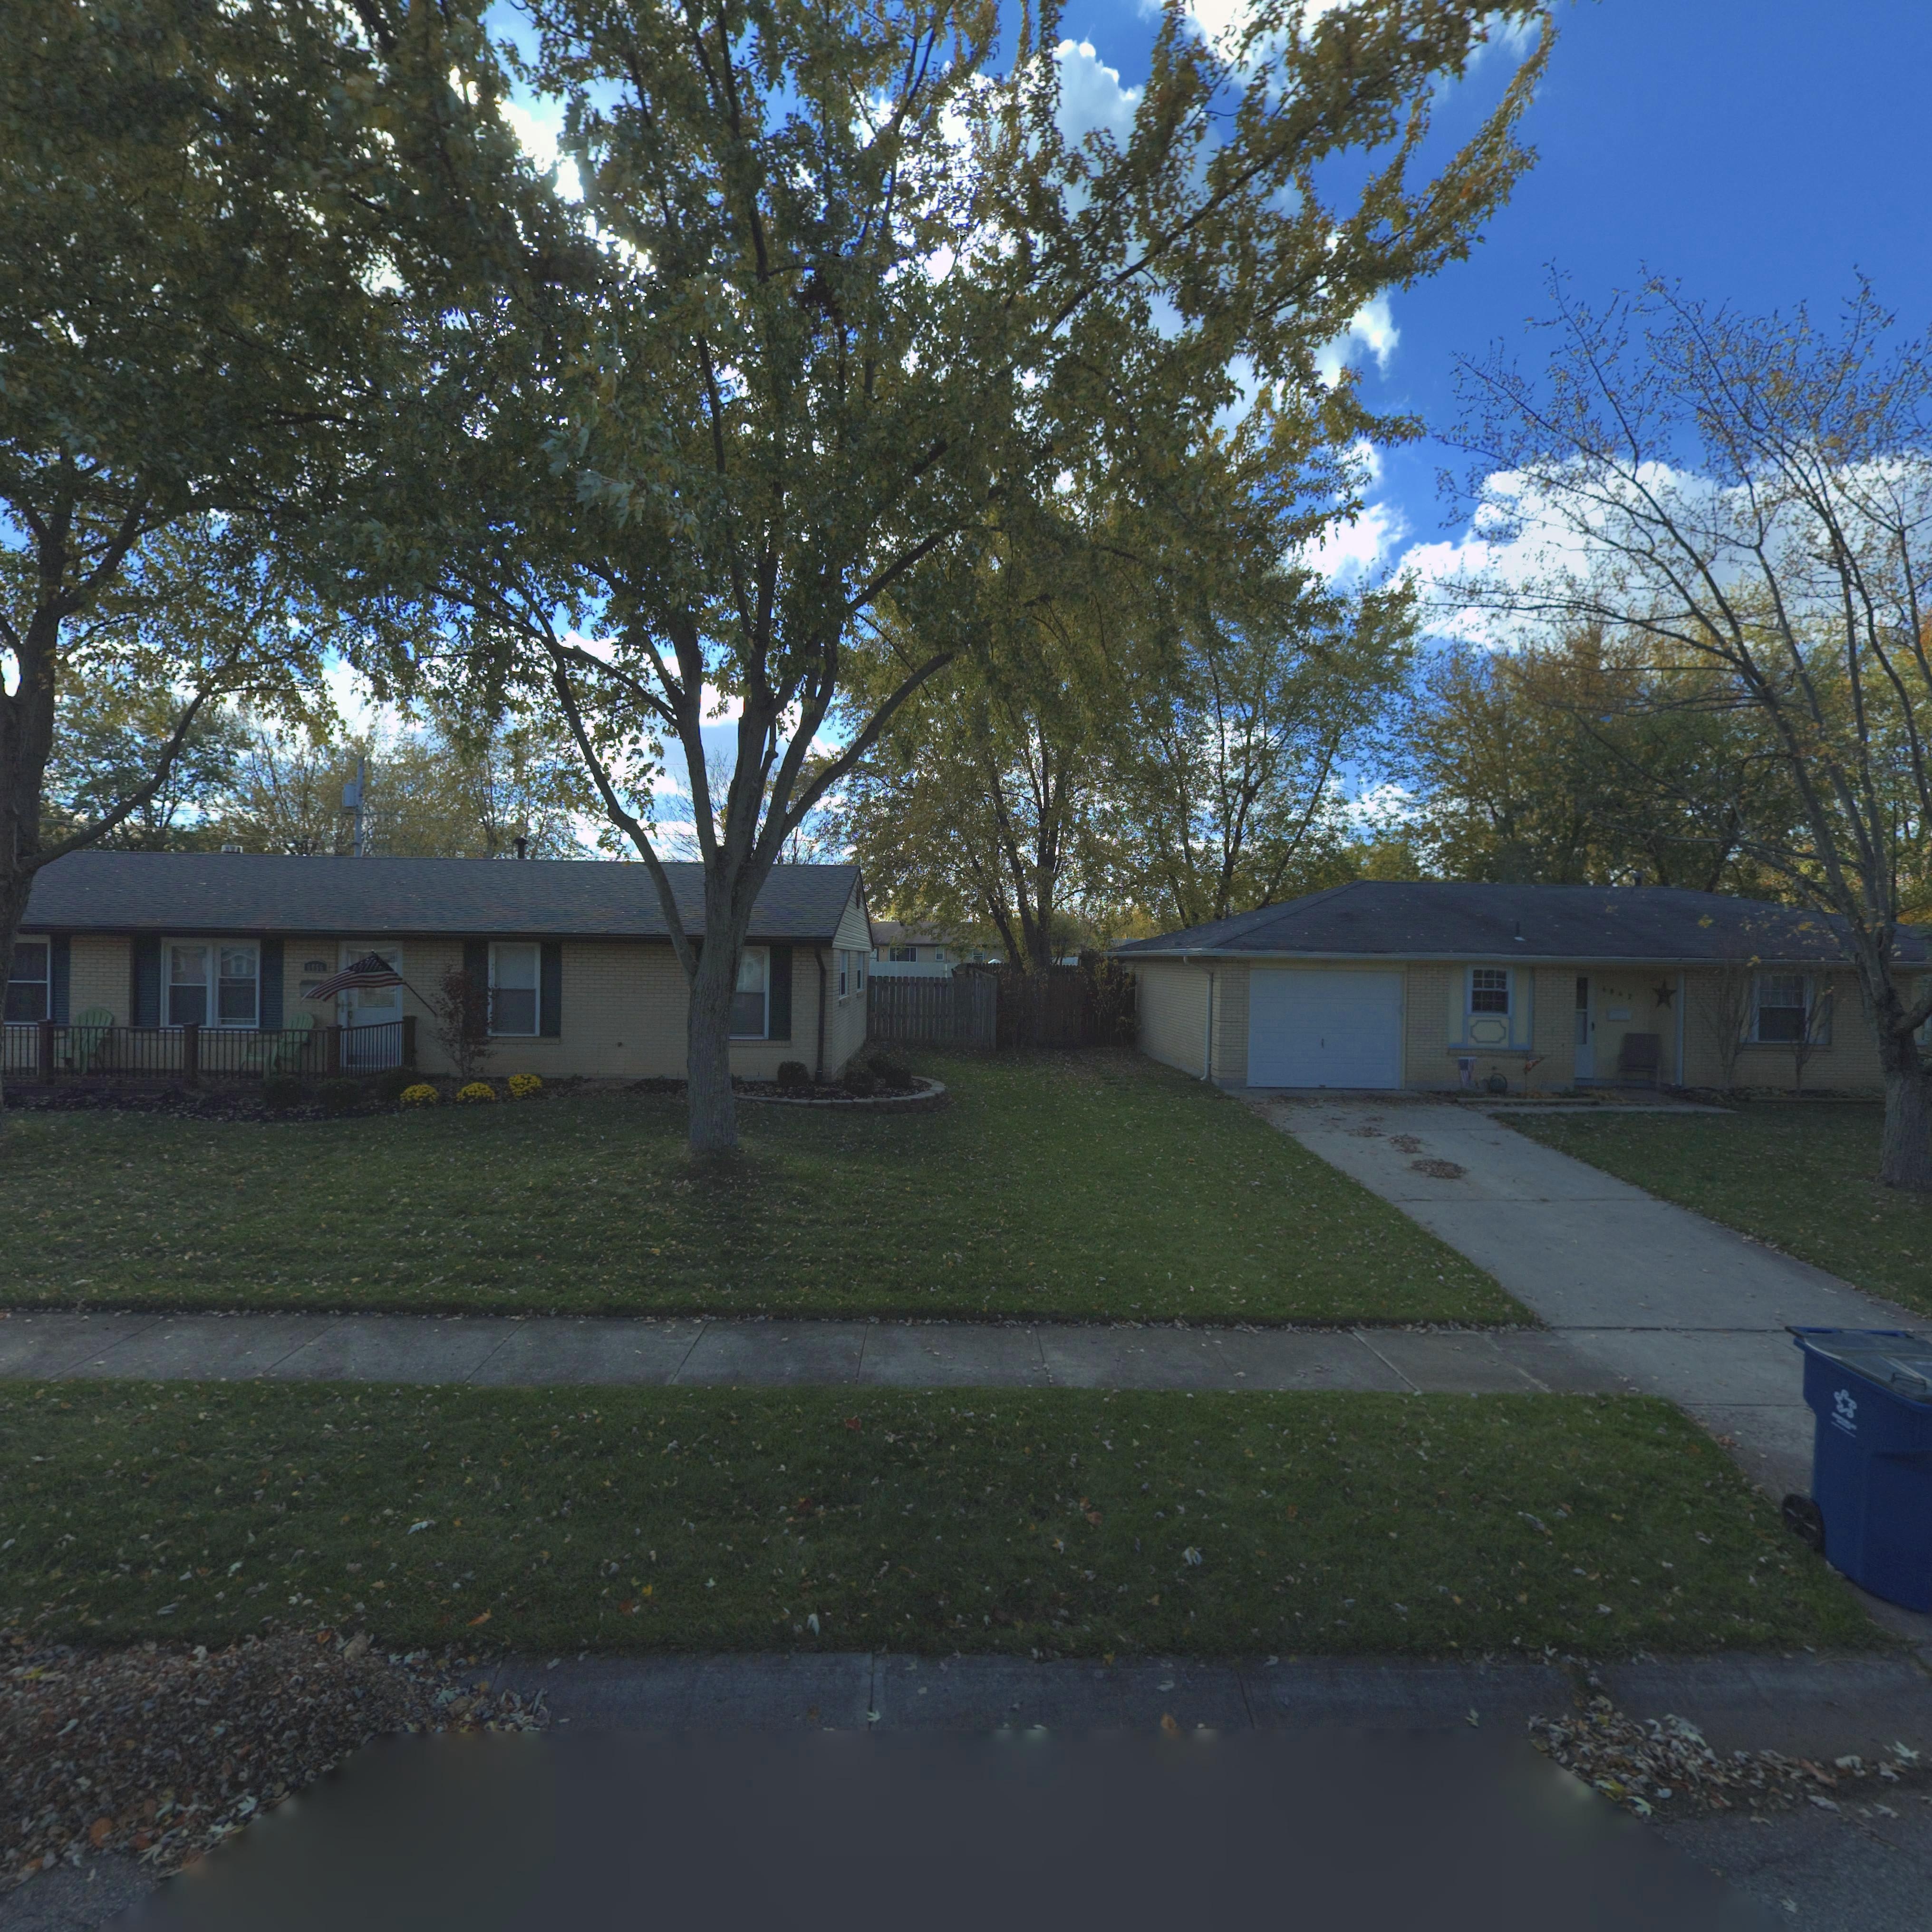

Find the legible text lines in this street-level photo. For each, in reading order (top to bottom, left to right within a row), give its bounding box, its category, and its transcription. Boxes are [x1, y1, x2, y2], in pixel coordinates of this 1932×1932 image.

[306, 963, 324, 972] StreetNumber: 6856
[1601, 984, 1633, 1001] StreetNumber: 684*